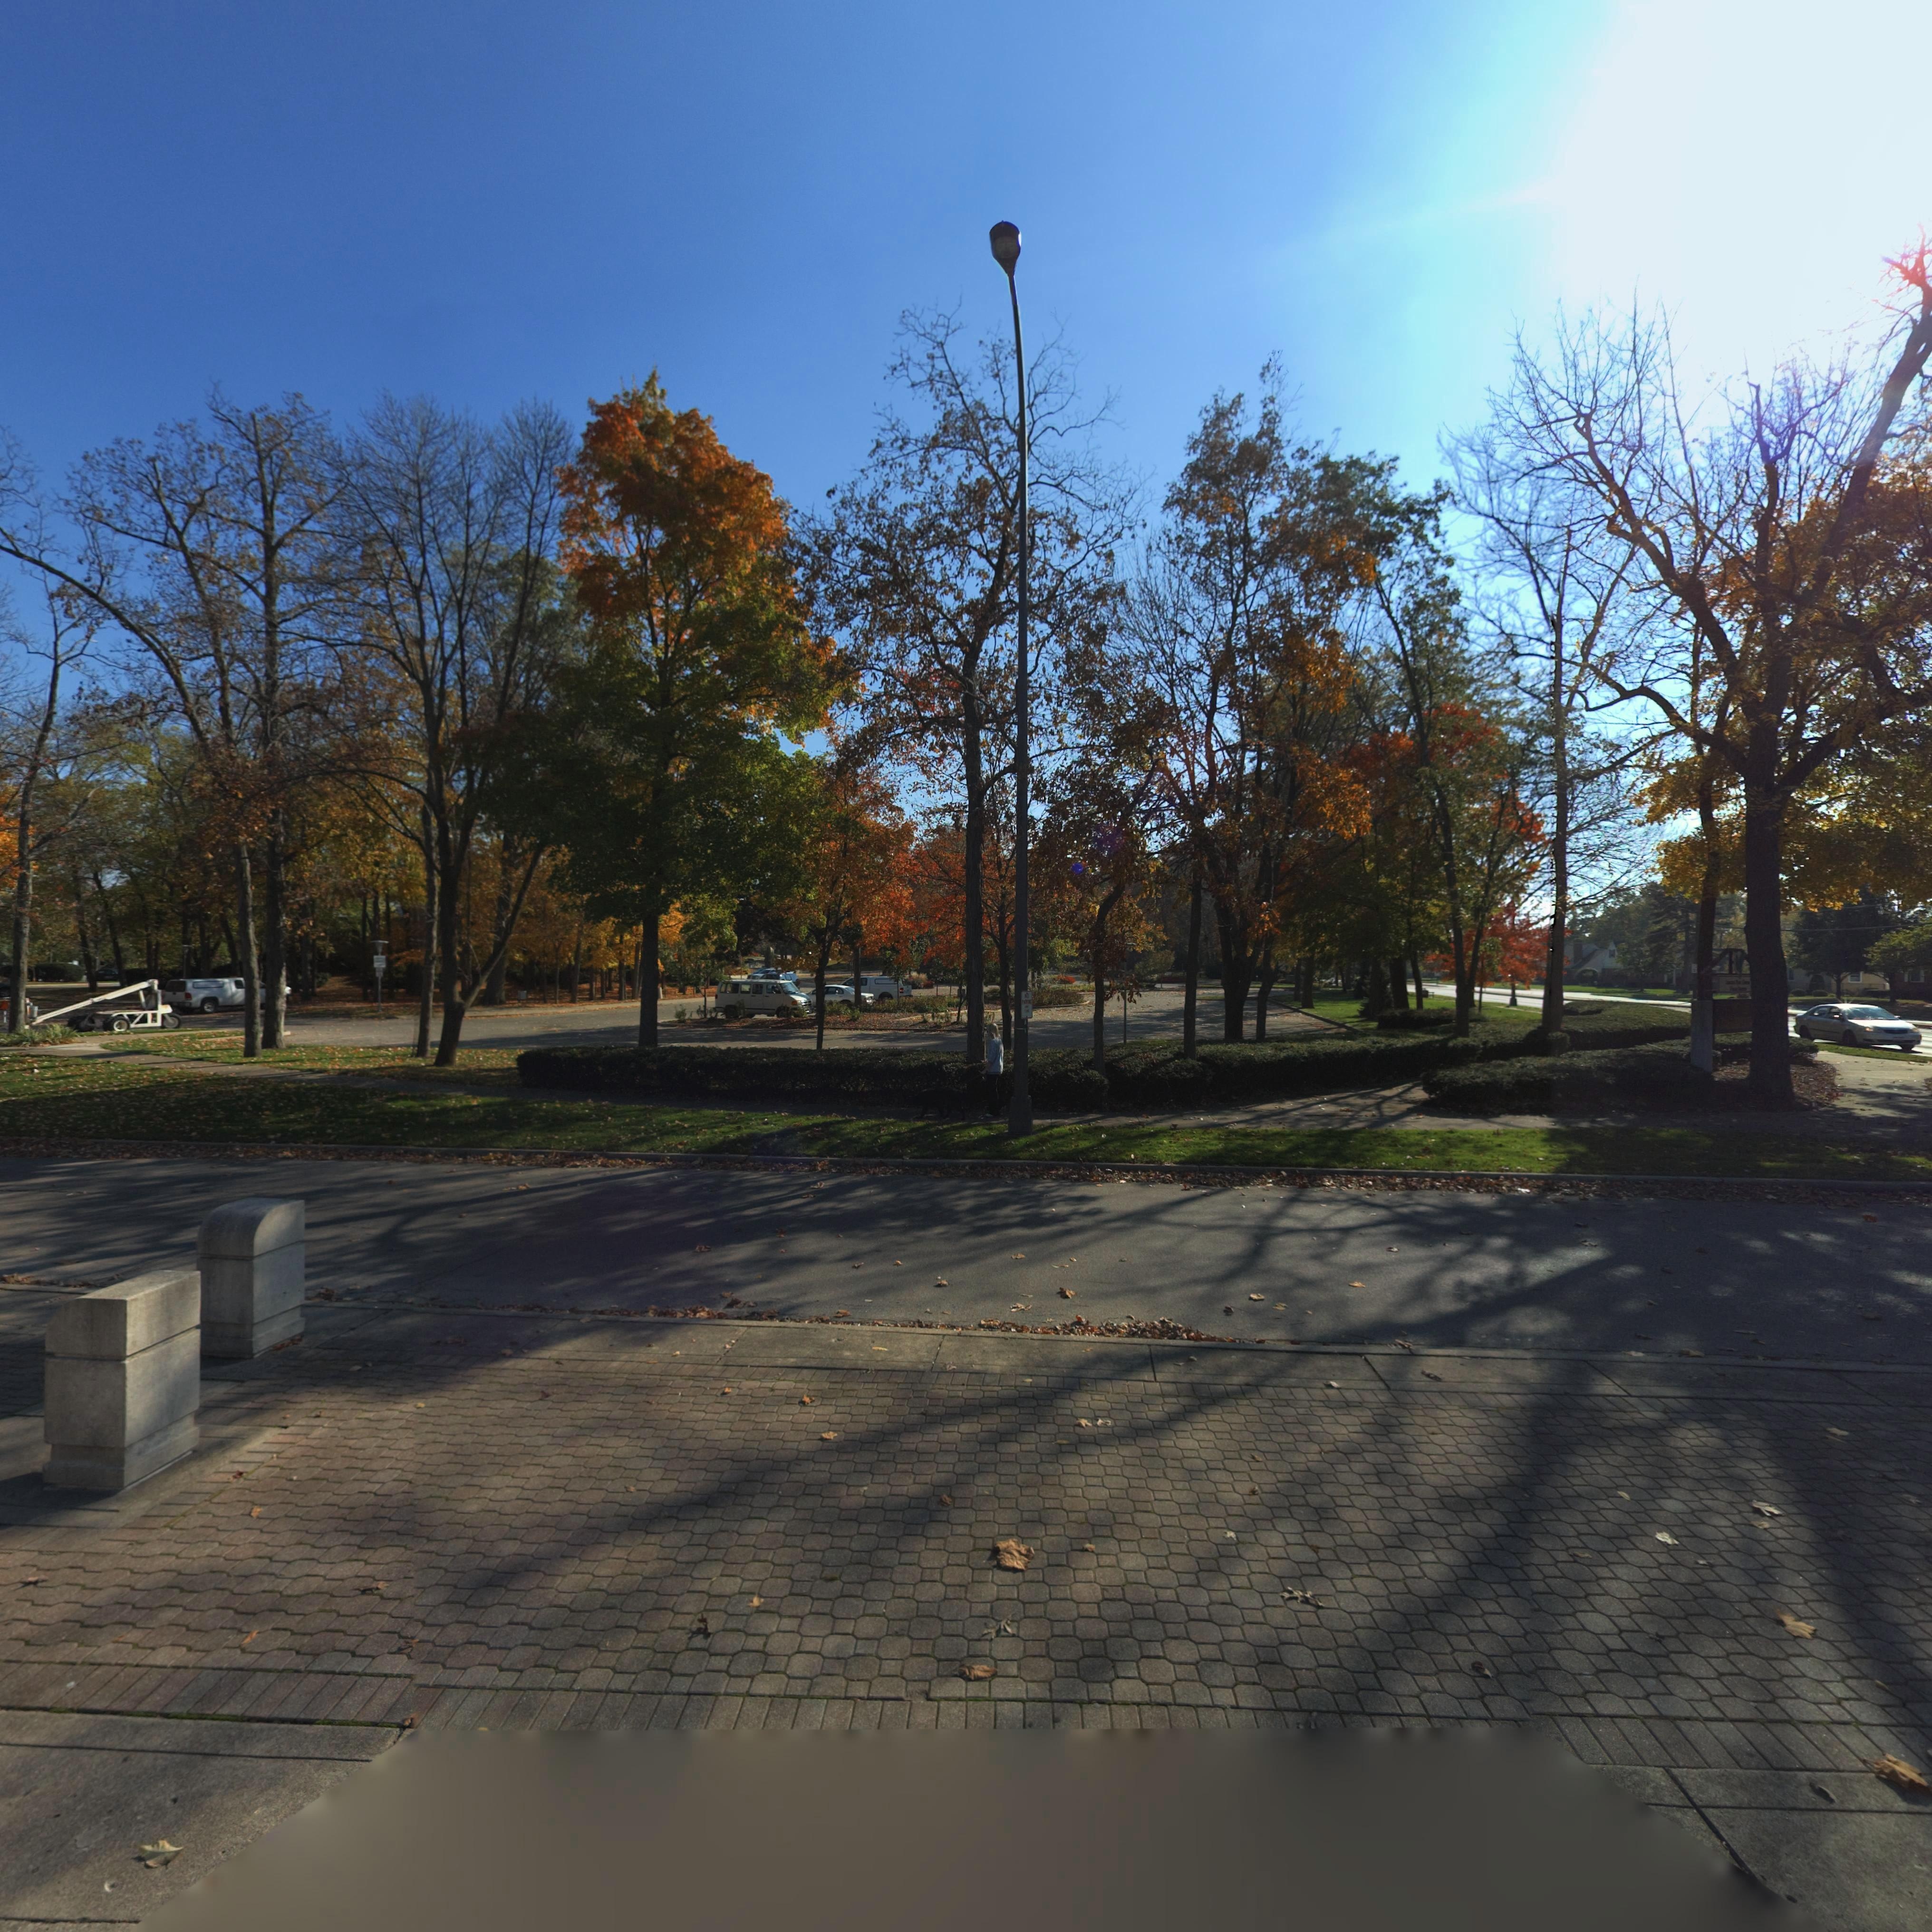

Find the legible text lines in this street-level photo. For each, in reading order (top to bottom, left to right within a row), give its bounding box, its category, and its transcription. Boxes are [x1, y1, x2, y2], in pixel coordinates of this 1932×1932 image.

[1024, 993, 1029, 998] None: NO
[1022, 999, 1032, 1005] None: PARKING